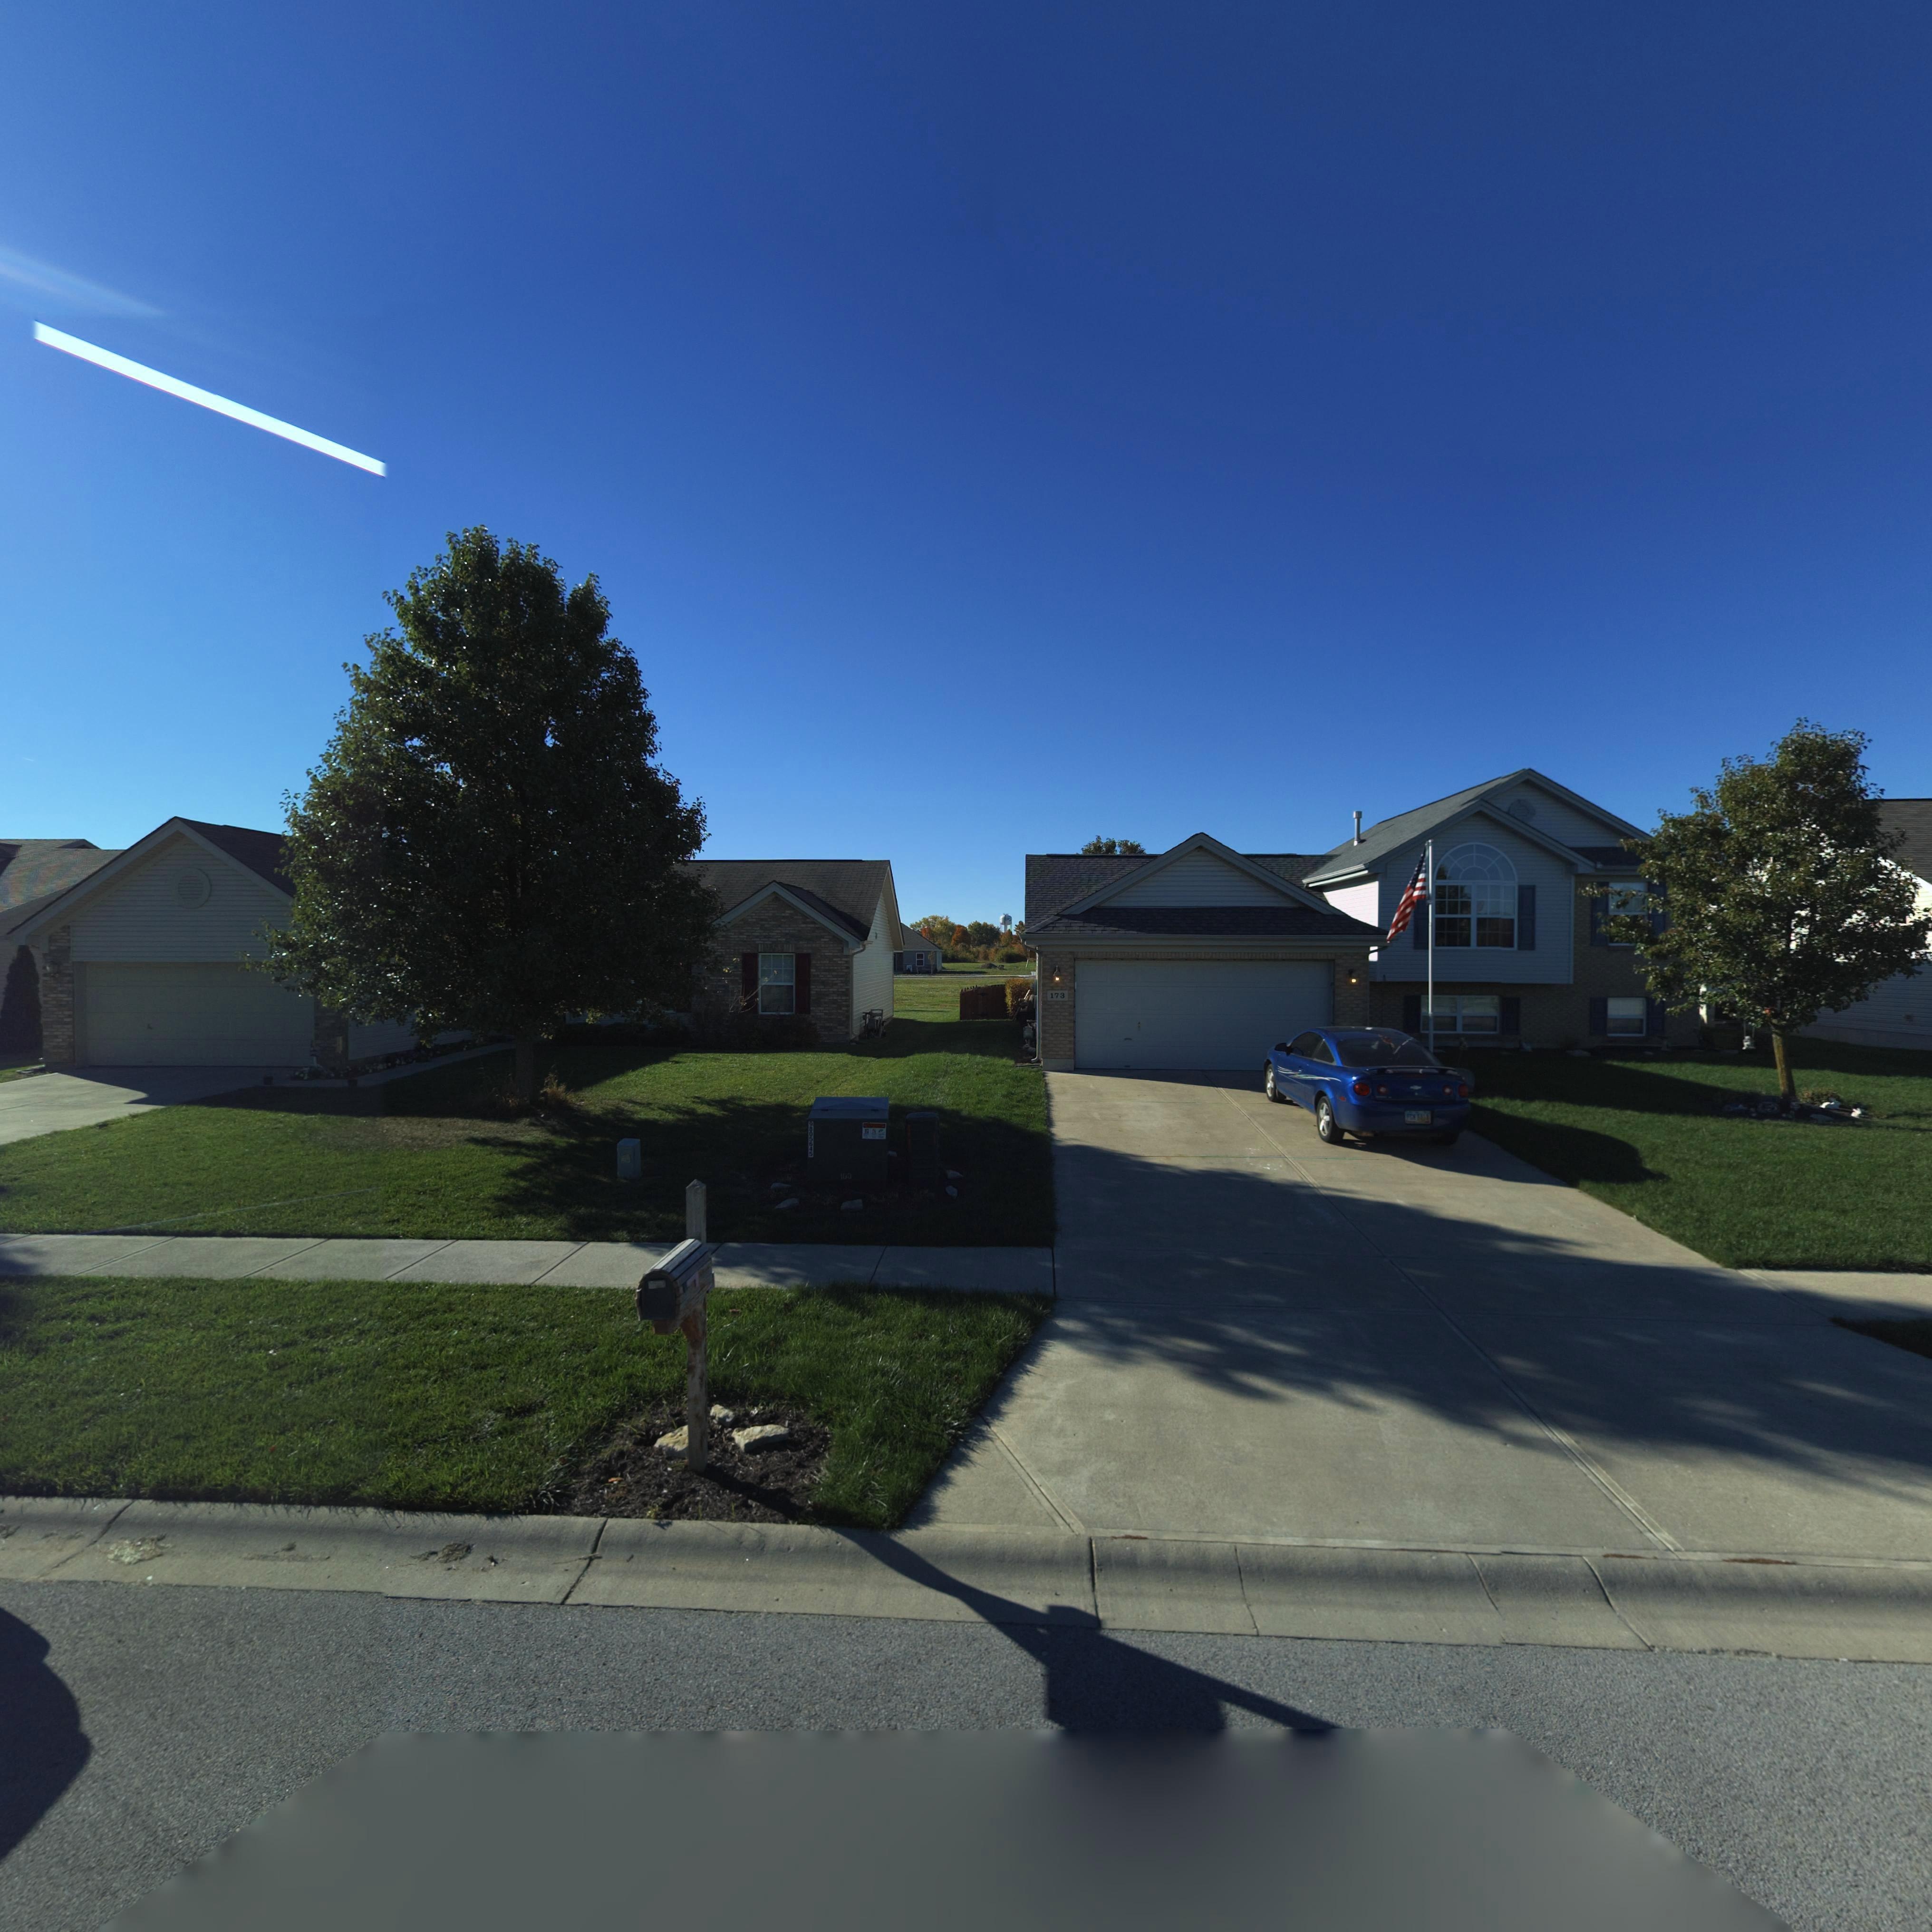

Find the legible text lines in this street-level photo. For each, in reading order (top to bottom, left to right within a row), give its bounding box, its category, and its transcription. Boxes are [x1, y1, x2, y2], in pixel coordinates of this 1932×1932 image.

[1049, 992, 1066, 999] StreetNumber: 173